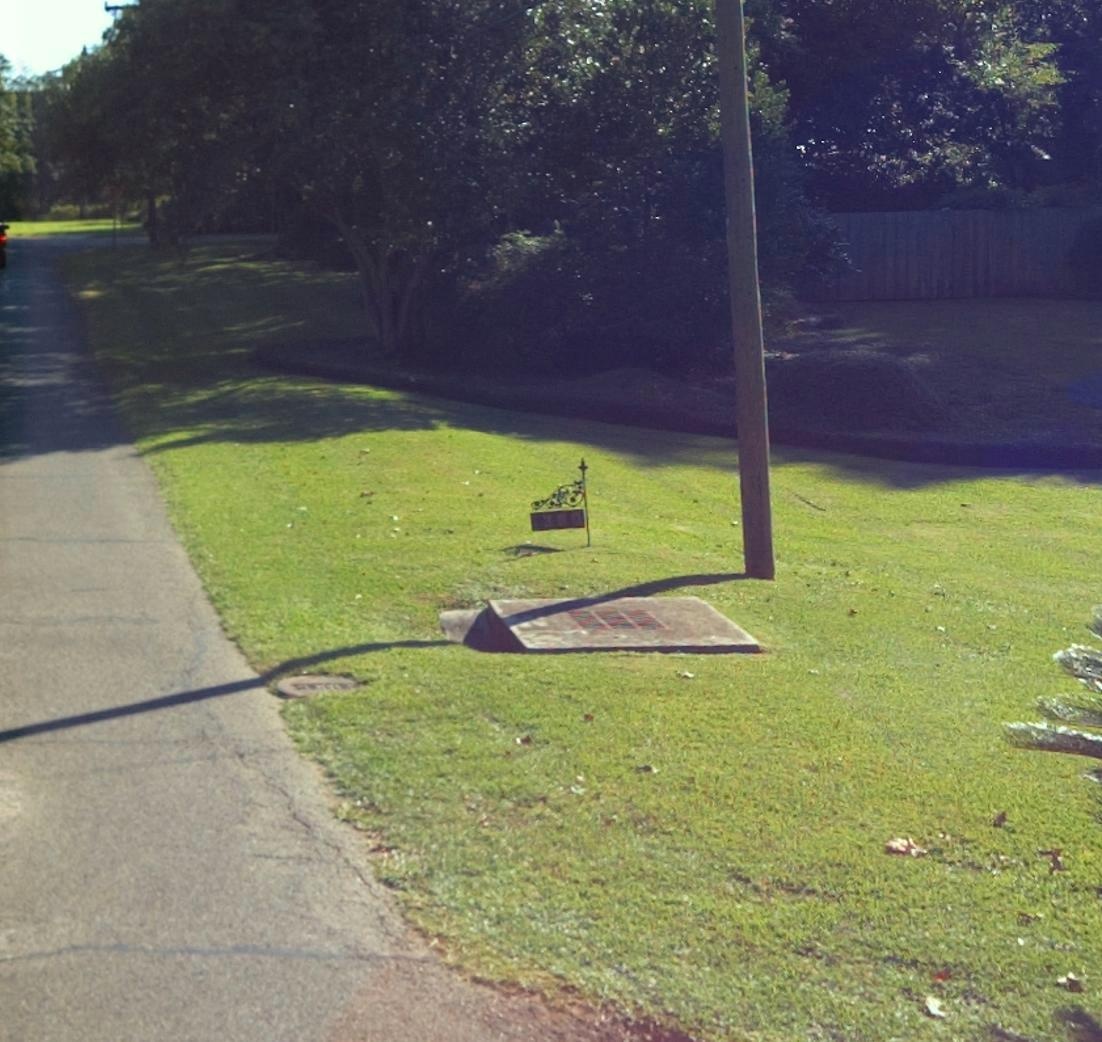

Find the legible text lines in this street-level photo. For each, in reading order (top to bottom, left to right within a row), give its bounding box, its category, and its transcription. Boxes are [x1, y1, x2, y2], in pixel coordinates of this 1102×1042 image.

[531, 510, 583, 530] StreetNumber: *380